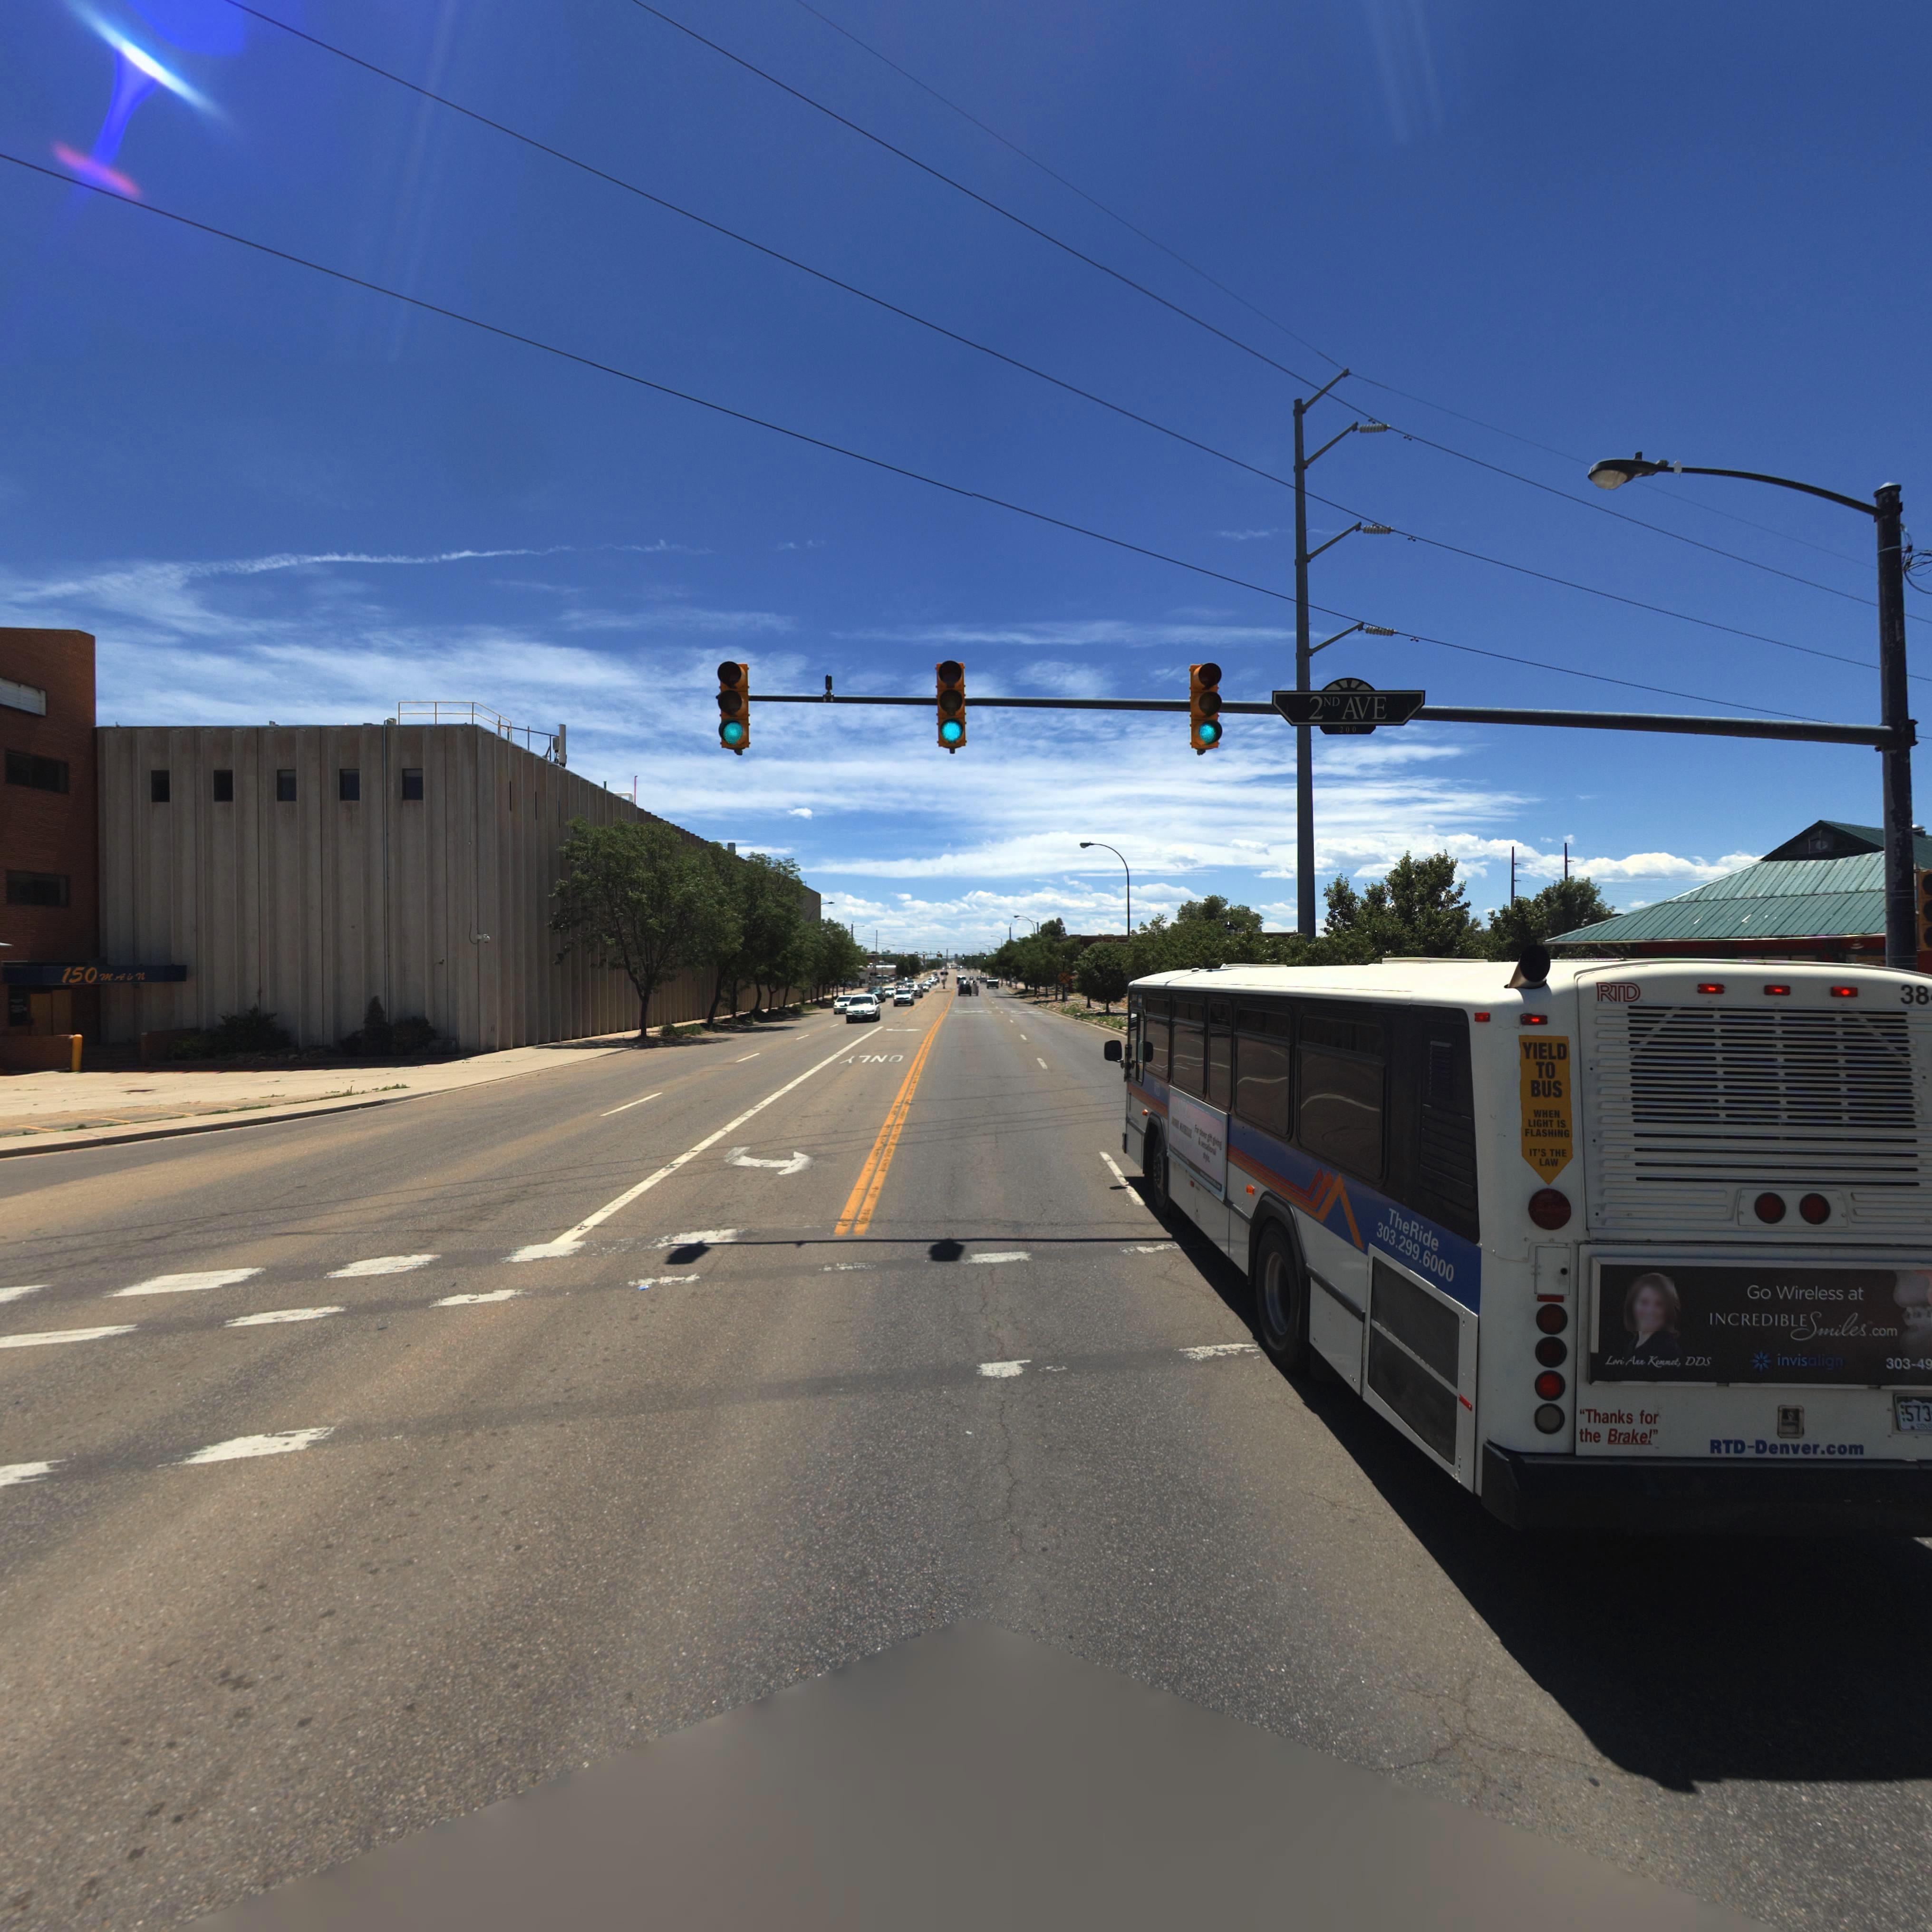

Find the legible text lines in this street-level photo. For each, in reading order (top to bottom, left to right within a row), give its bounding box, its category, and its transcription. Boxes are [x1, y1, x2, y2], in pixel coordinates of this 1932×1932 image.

[1303, 696, 1391, 719] StreetName: 2ND AVE
[1339, 724, 1357, 734] StreetNumber: 200
[58, 966, 100, 984] StreetNumber: 150
[98, 971, 147, 981] StreetName: MAIN